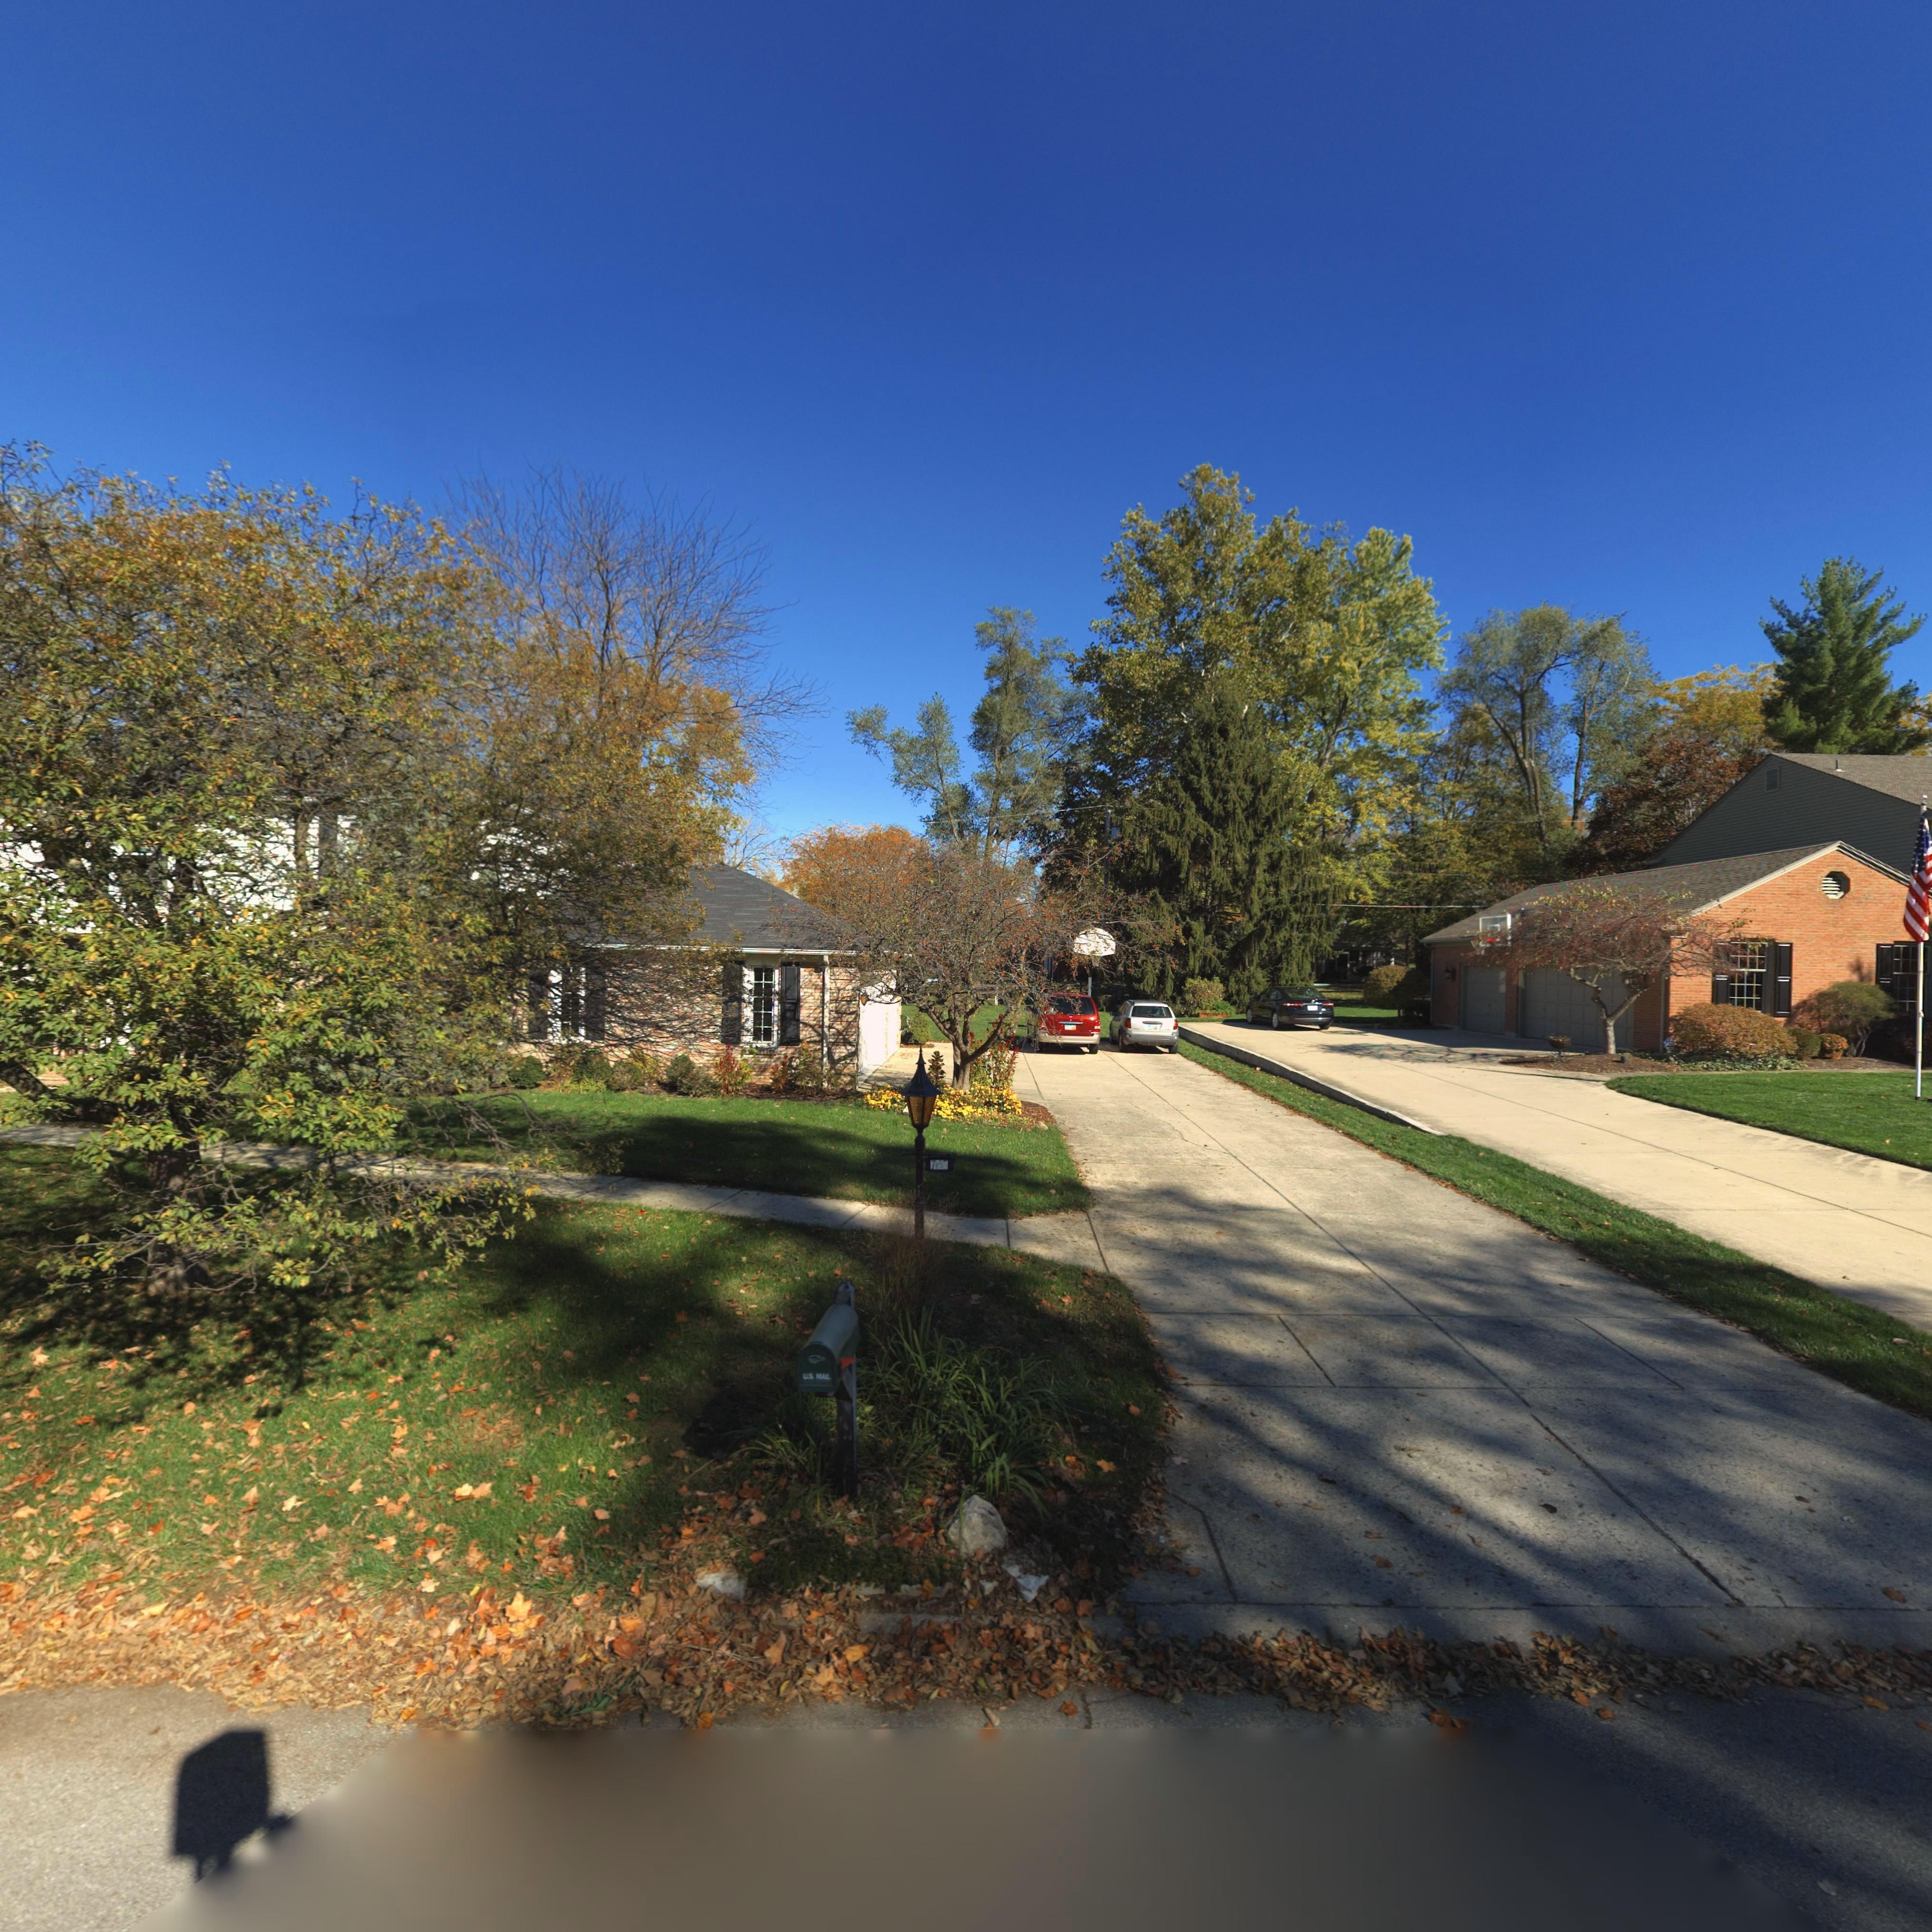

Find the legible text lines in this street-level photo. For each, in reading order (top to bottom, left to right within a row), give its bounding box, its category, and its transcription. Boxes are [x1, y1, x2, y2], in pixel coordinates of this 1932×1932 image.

[930, 1159, 948, 1170] StreetNumber: 745